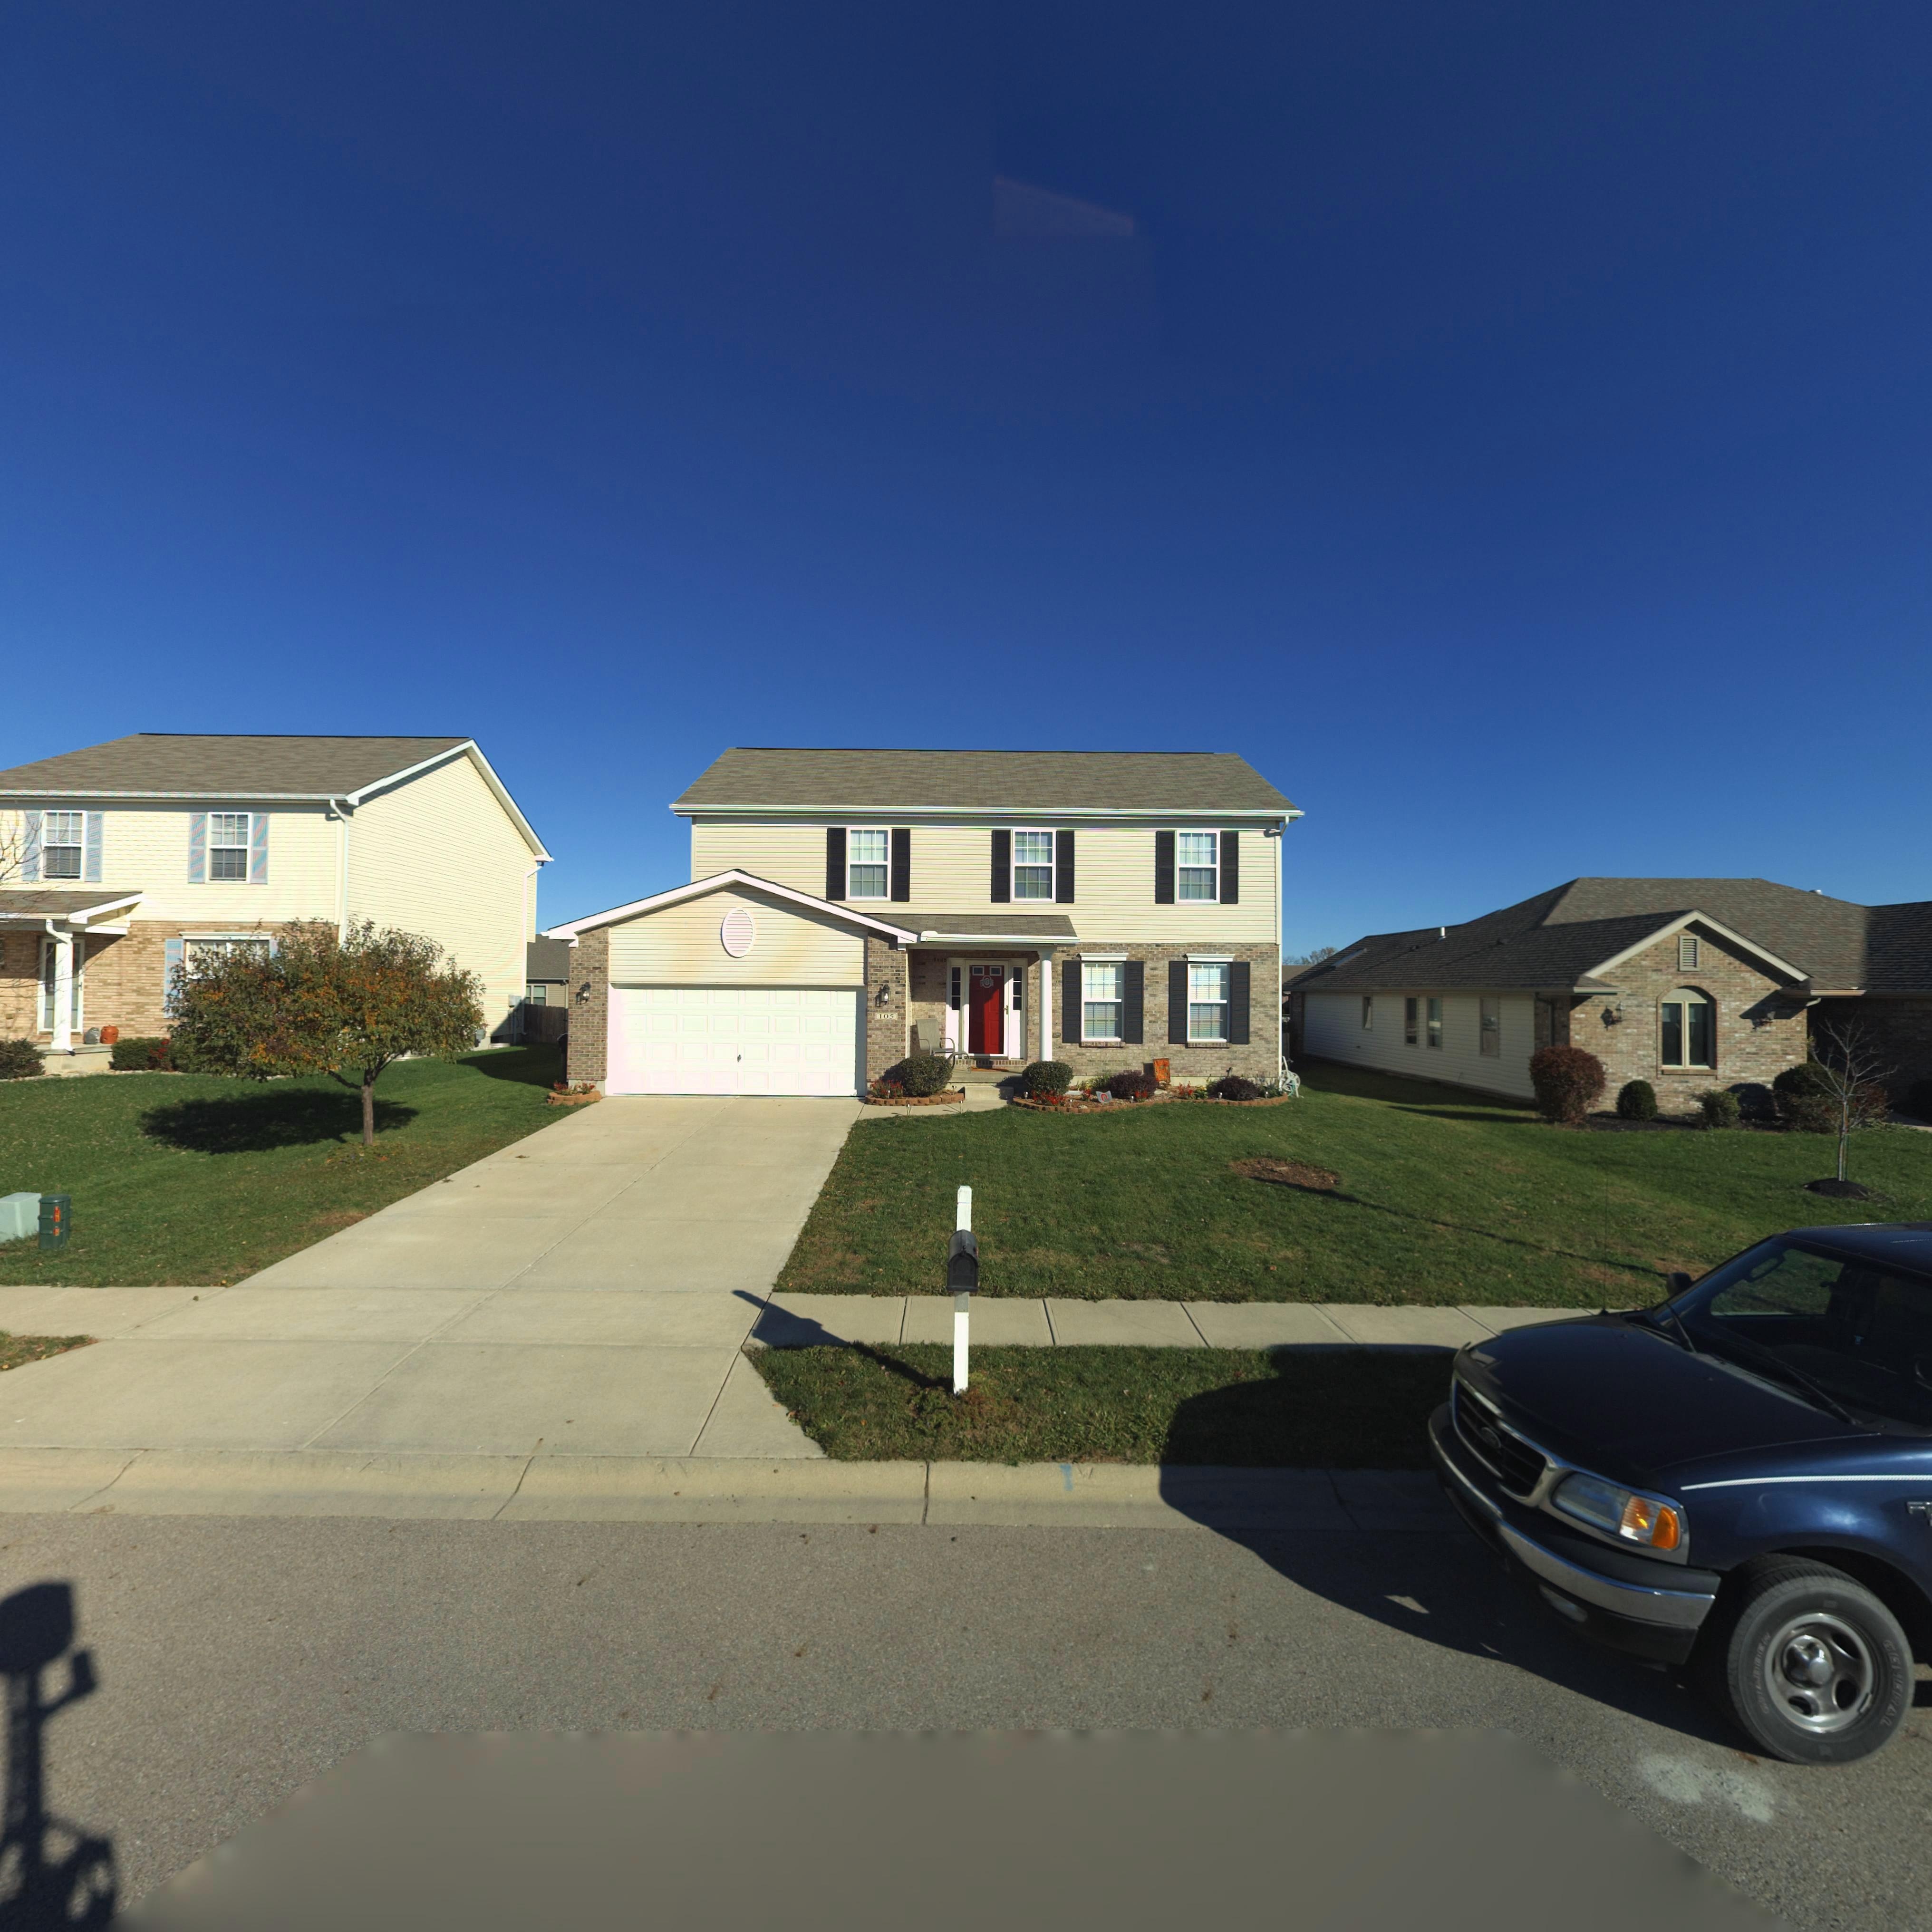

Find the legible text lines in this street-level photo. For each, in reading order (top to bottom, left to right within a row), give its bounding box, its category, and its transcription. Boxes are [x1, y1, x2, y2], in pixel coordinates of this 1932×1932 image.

[879, 1013, 895, 1020] StreetNumber: 105